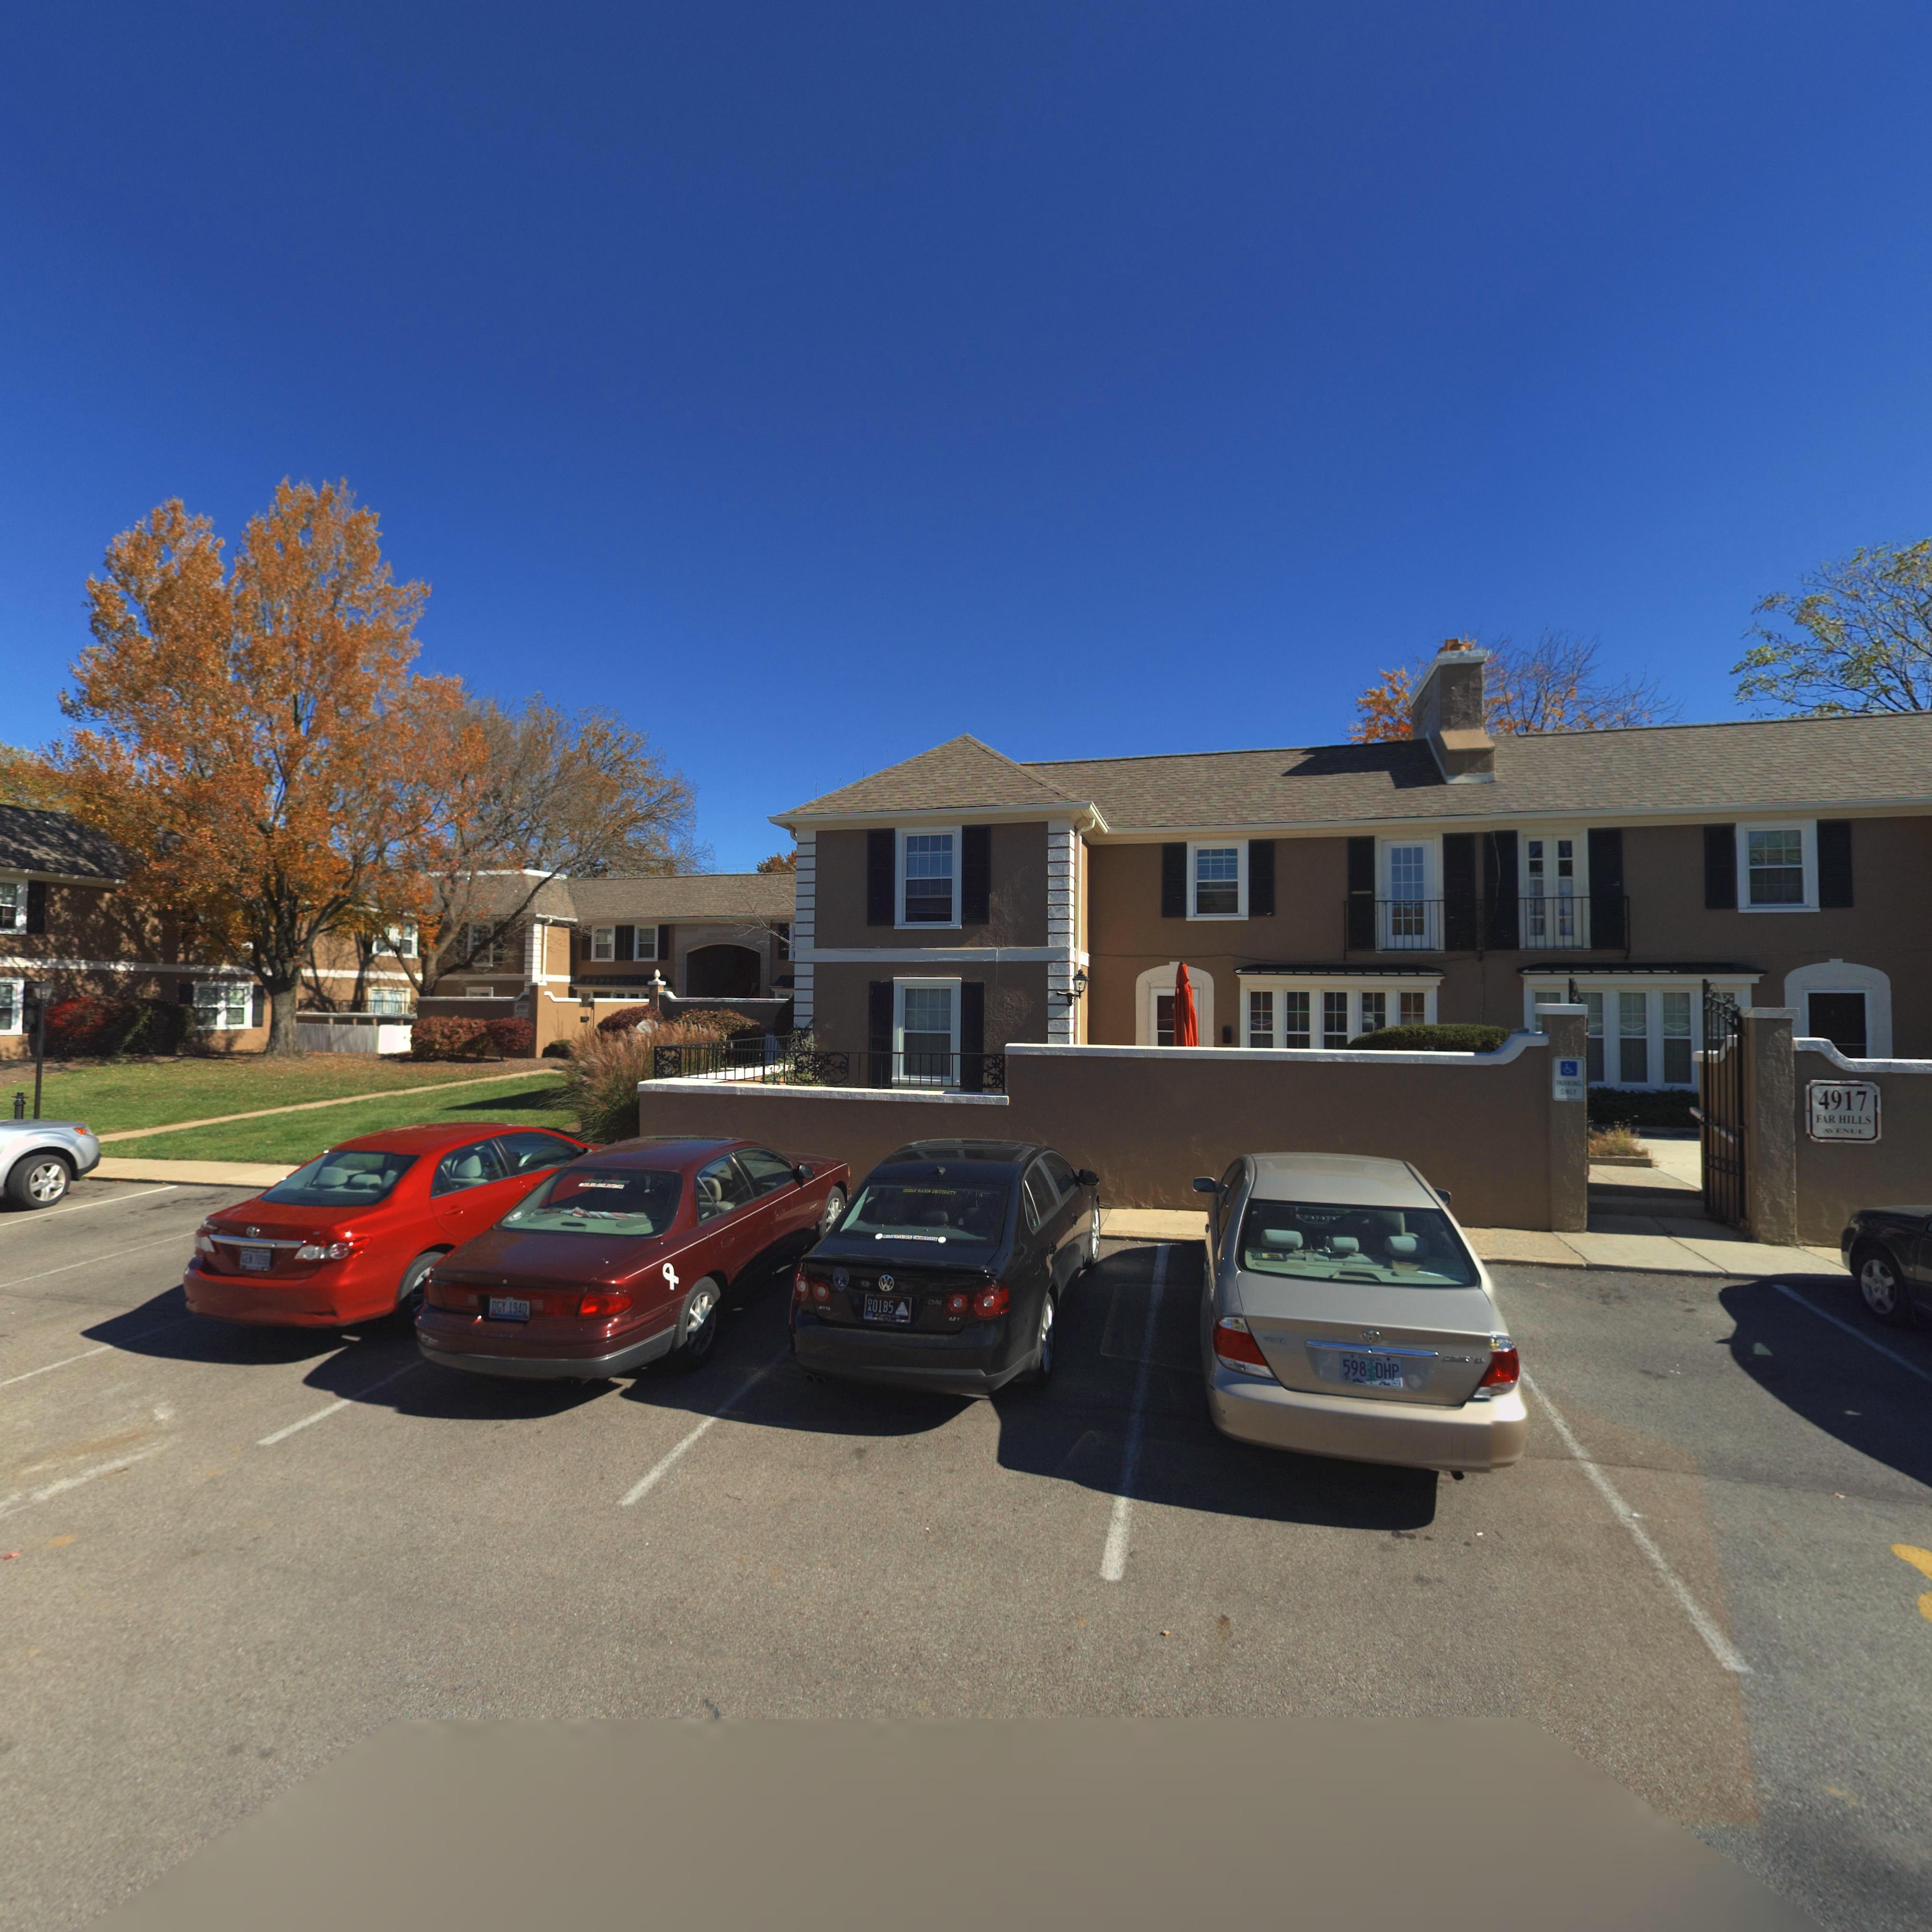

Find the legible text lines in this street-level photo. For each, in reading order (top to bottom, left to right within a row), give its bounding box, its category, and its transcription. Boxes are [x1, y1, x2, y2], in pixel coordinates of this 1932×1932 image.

[1817, 1089, 1868, 1111] StreetNumber: 4917